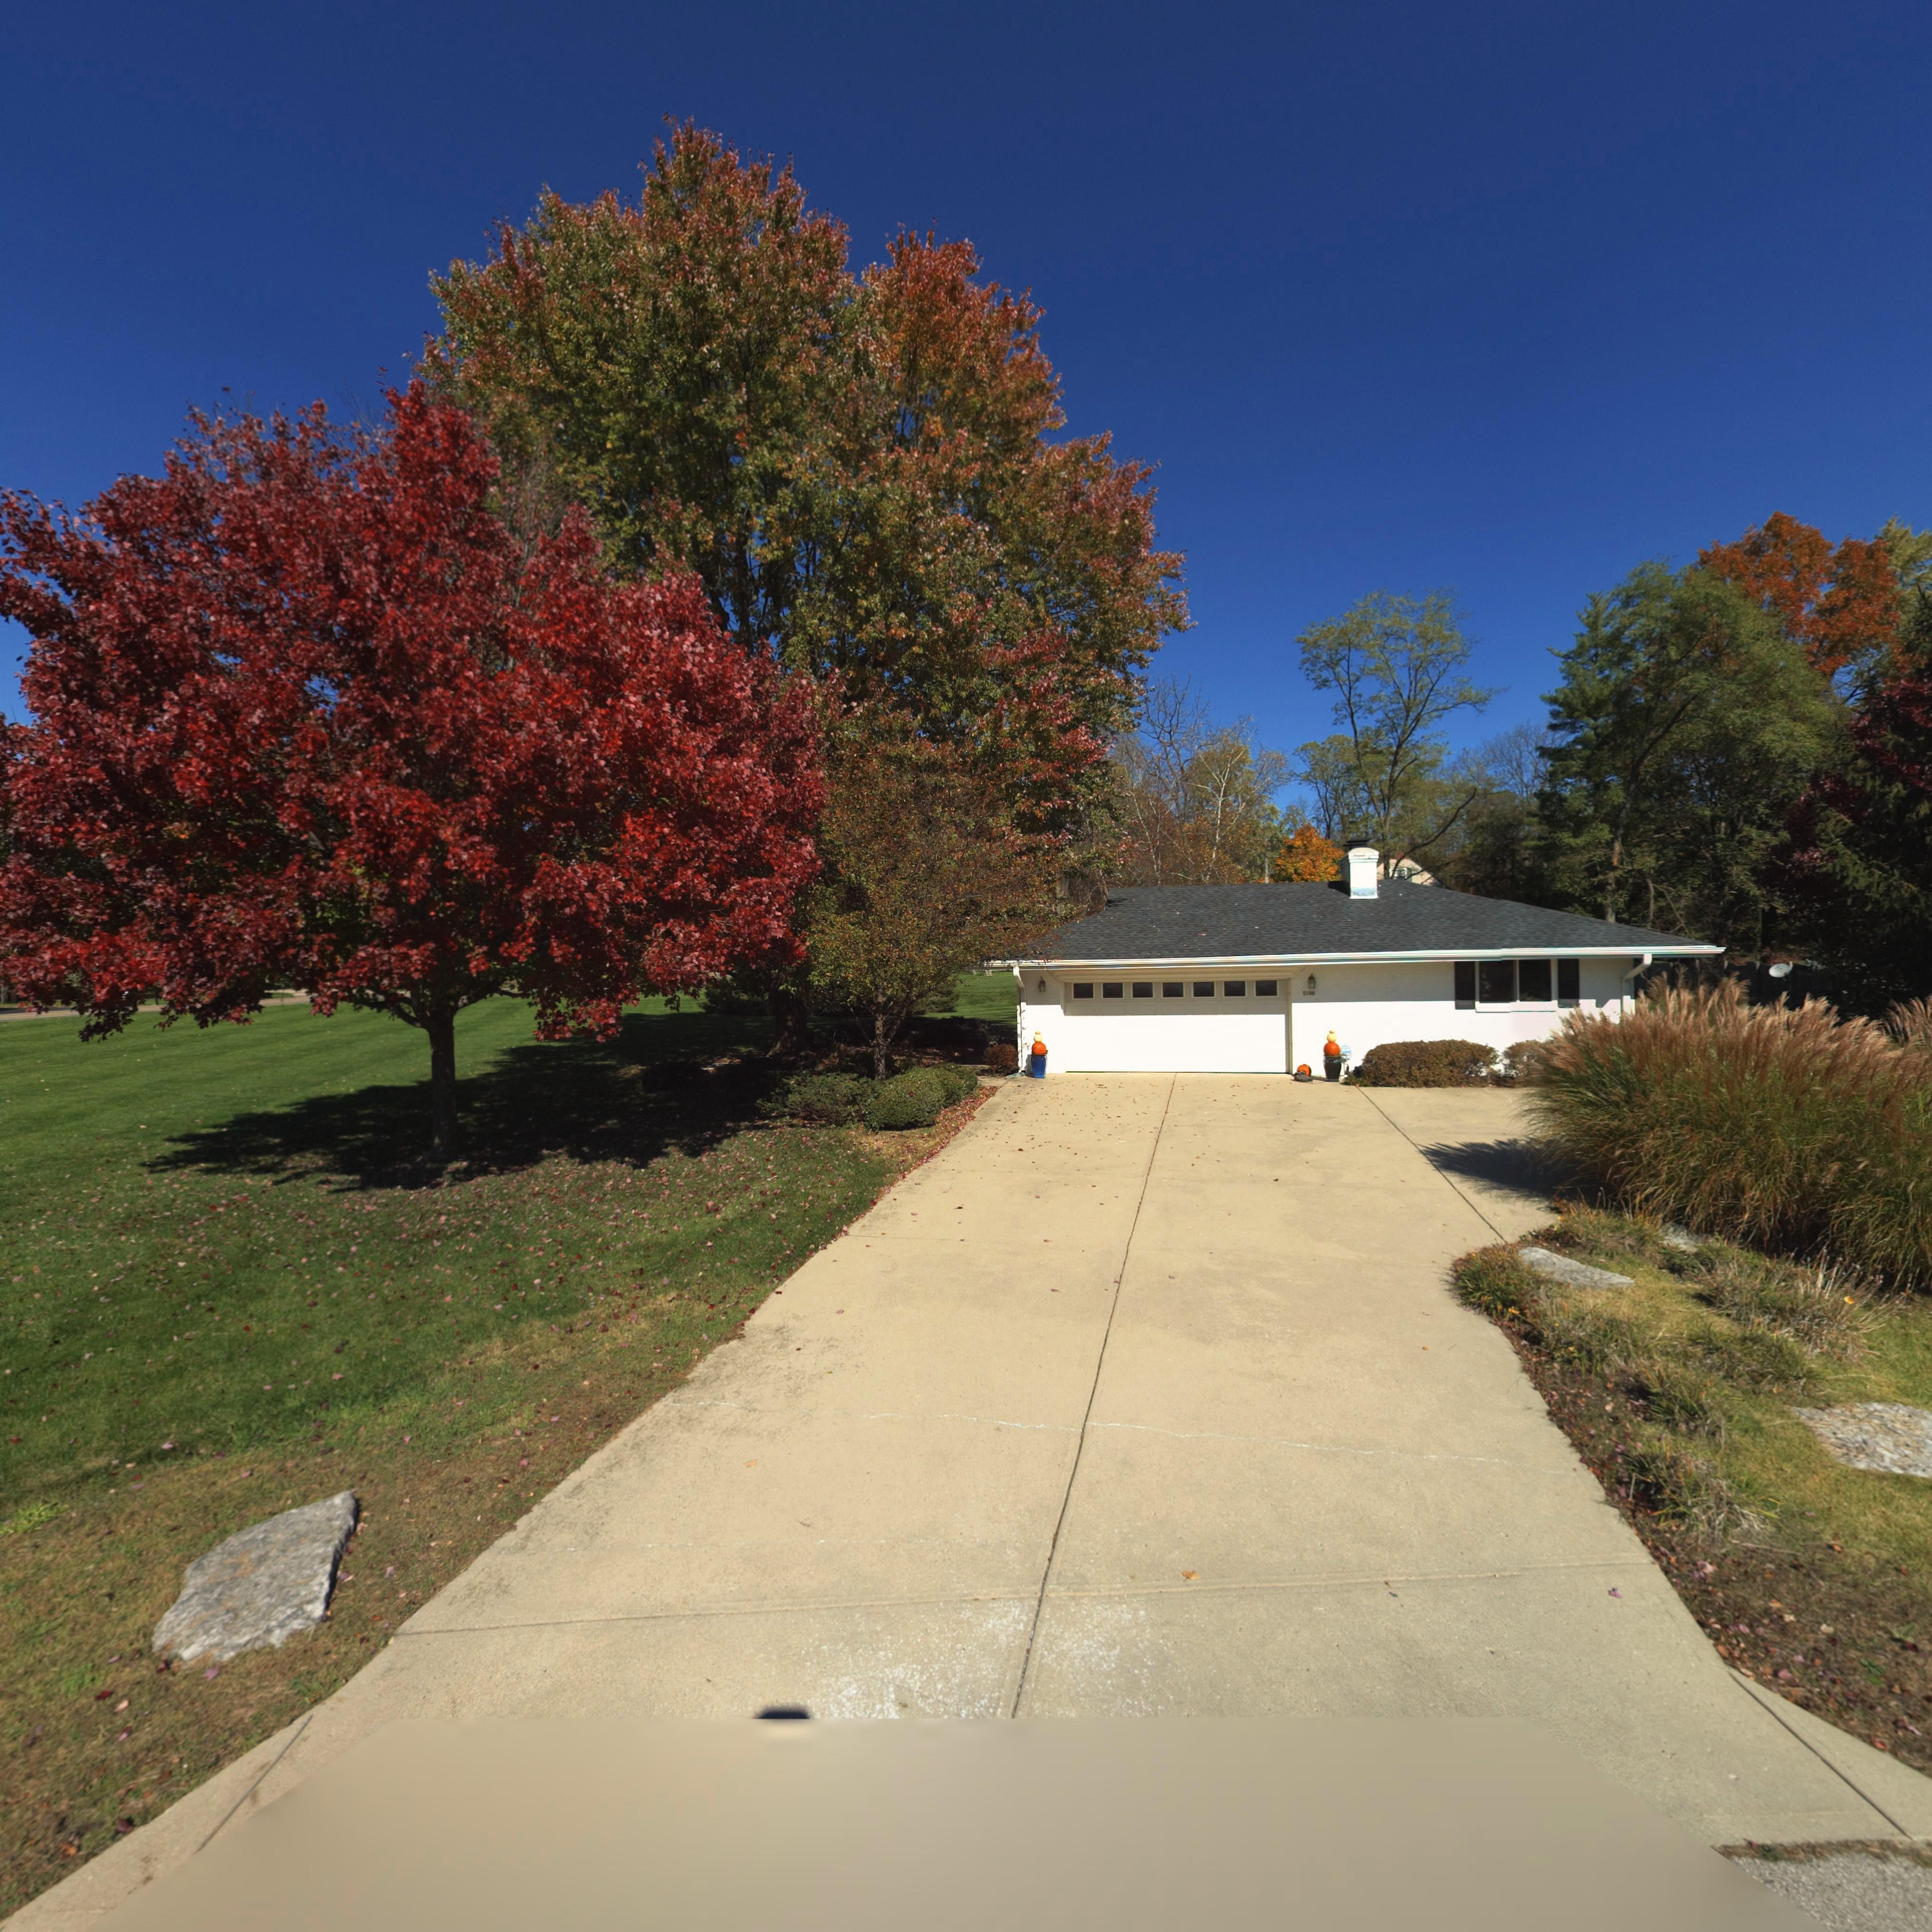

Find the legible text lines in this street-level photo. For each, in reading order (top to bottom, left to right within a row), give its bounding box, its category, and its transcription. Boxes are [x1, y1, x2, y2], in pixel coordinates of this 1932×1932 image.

[1302, 989, 1316, 997] StreetNumber: 51**